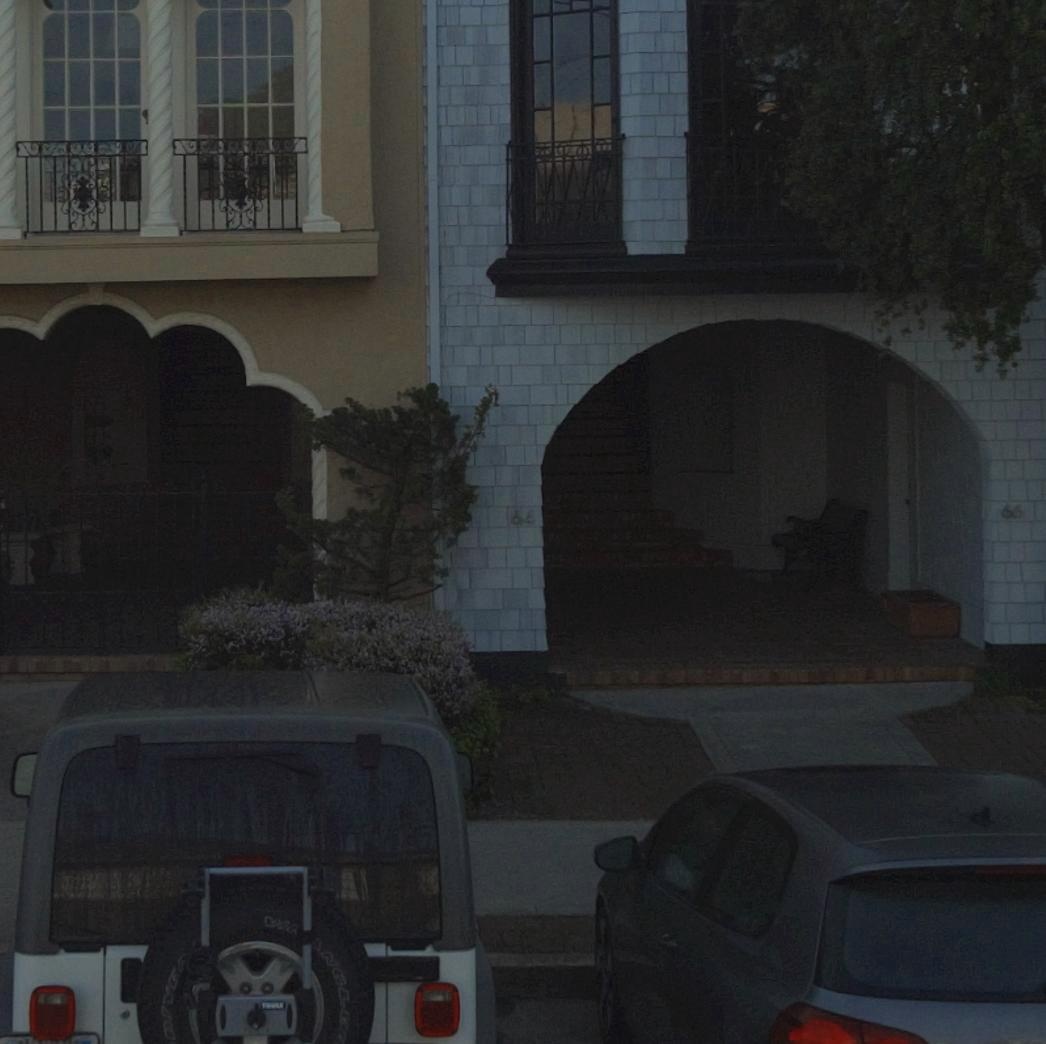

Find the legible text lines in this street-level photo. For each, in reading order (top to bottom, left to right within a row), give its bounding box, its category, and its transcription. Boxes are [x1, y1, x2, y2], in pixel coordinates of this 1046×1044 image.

[508, 507, 535, 528] StreetNumber: 6*
[262, 909, 353, 1011] None: W***NEL
[157, 980, 178, 1026] None: IV